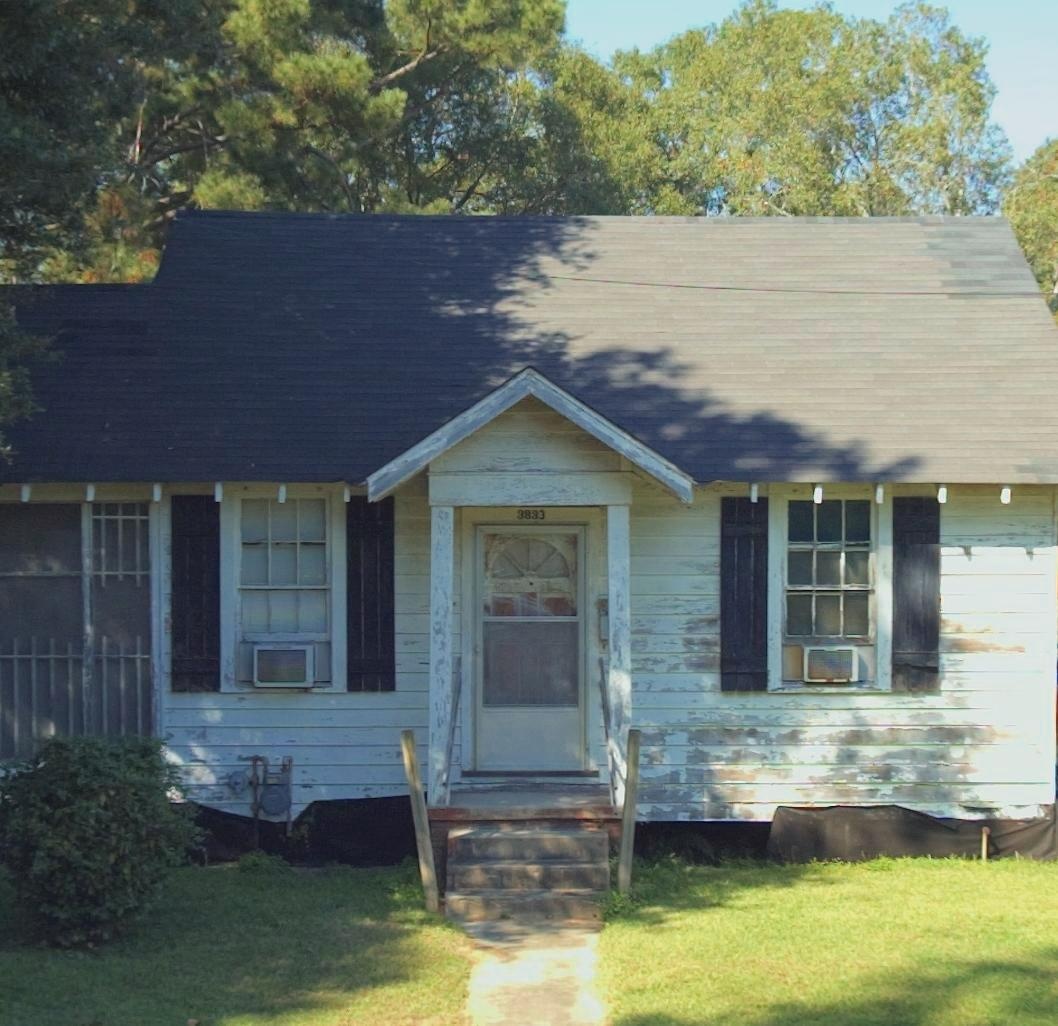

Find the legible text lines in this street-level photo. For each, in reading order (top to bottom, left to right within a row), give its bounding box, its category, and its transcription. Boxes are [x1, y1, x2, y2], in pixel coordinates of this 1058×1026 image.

[515, 508, 547, 521] StreetNumber: 3883